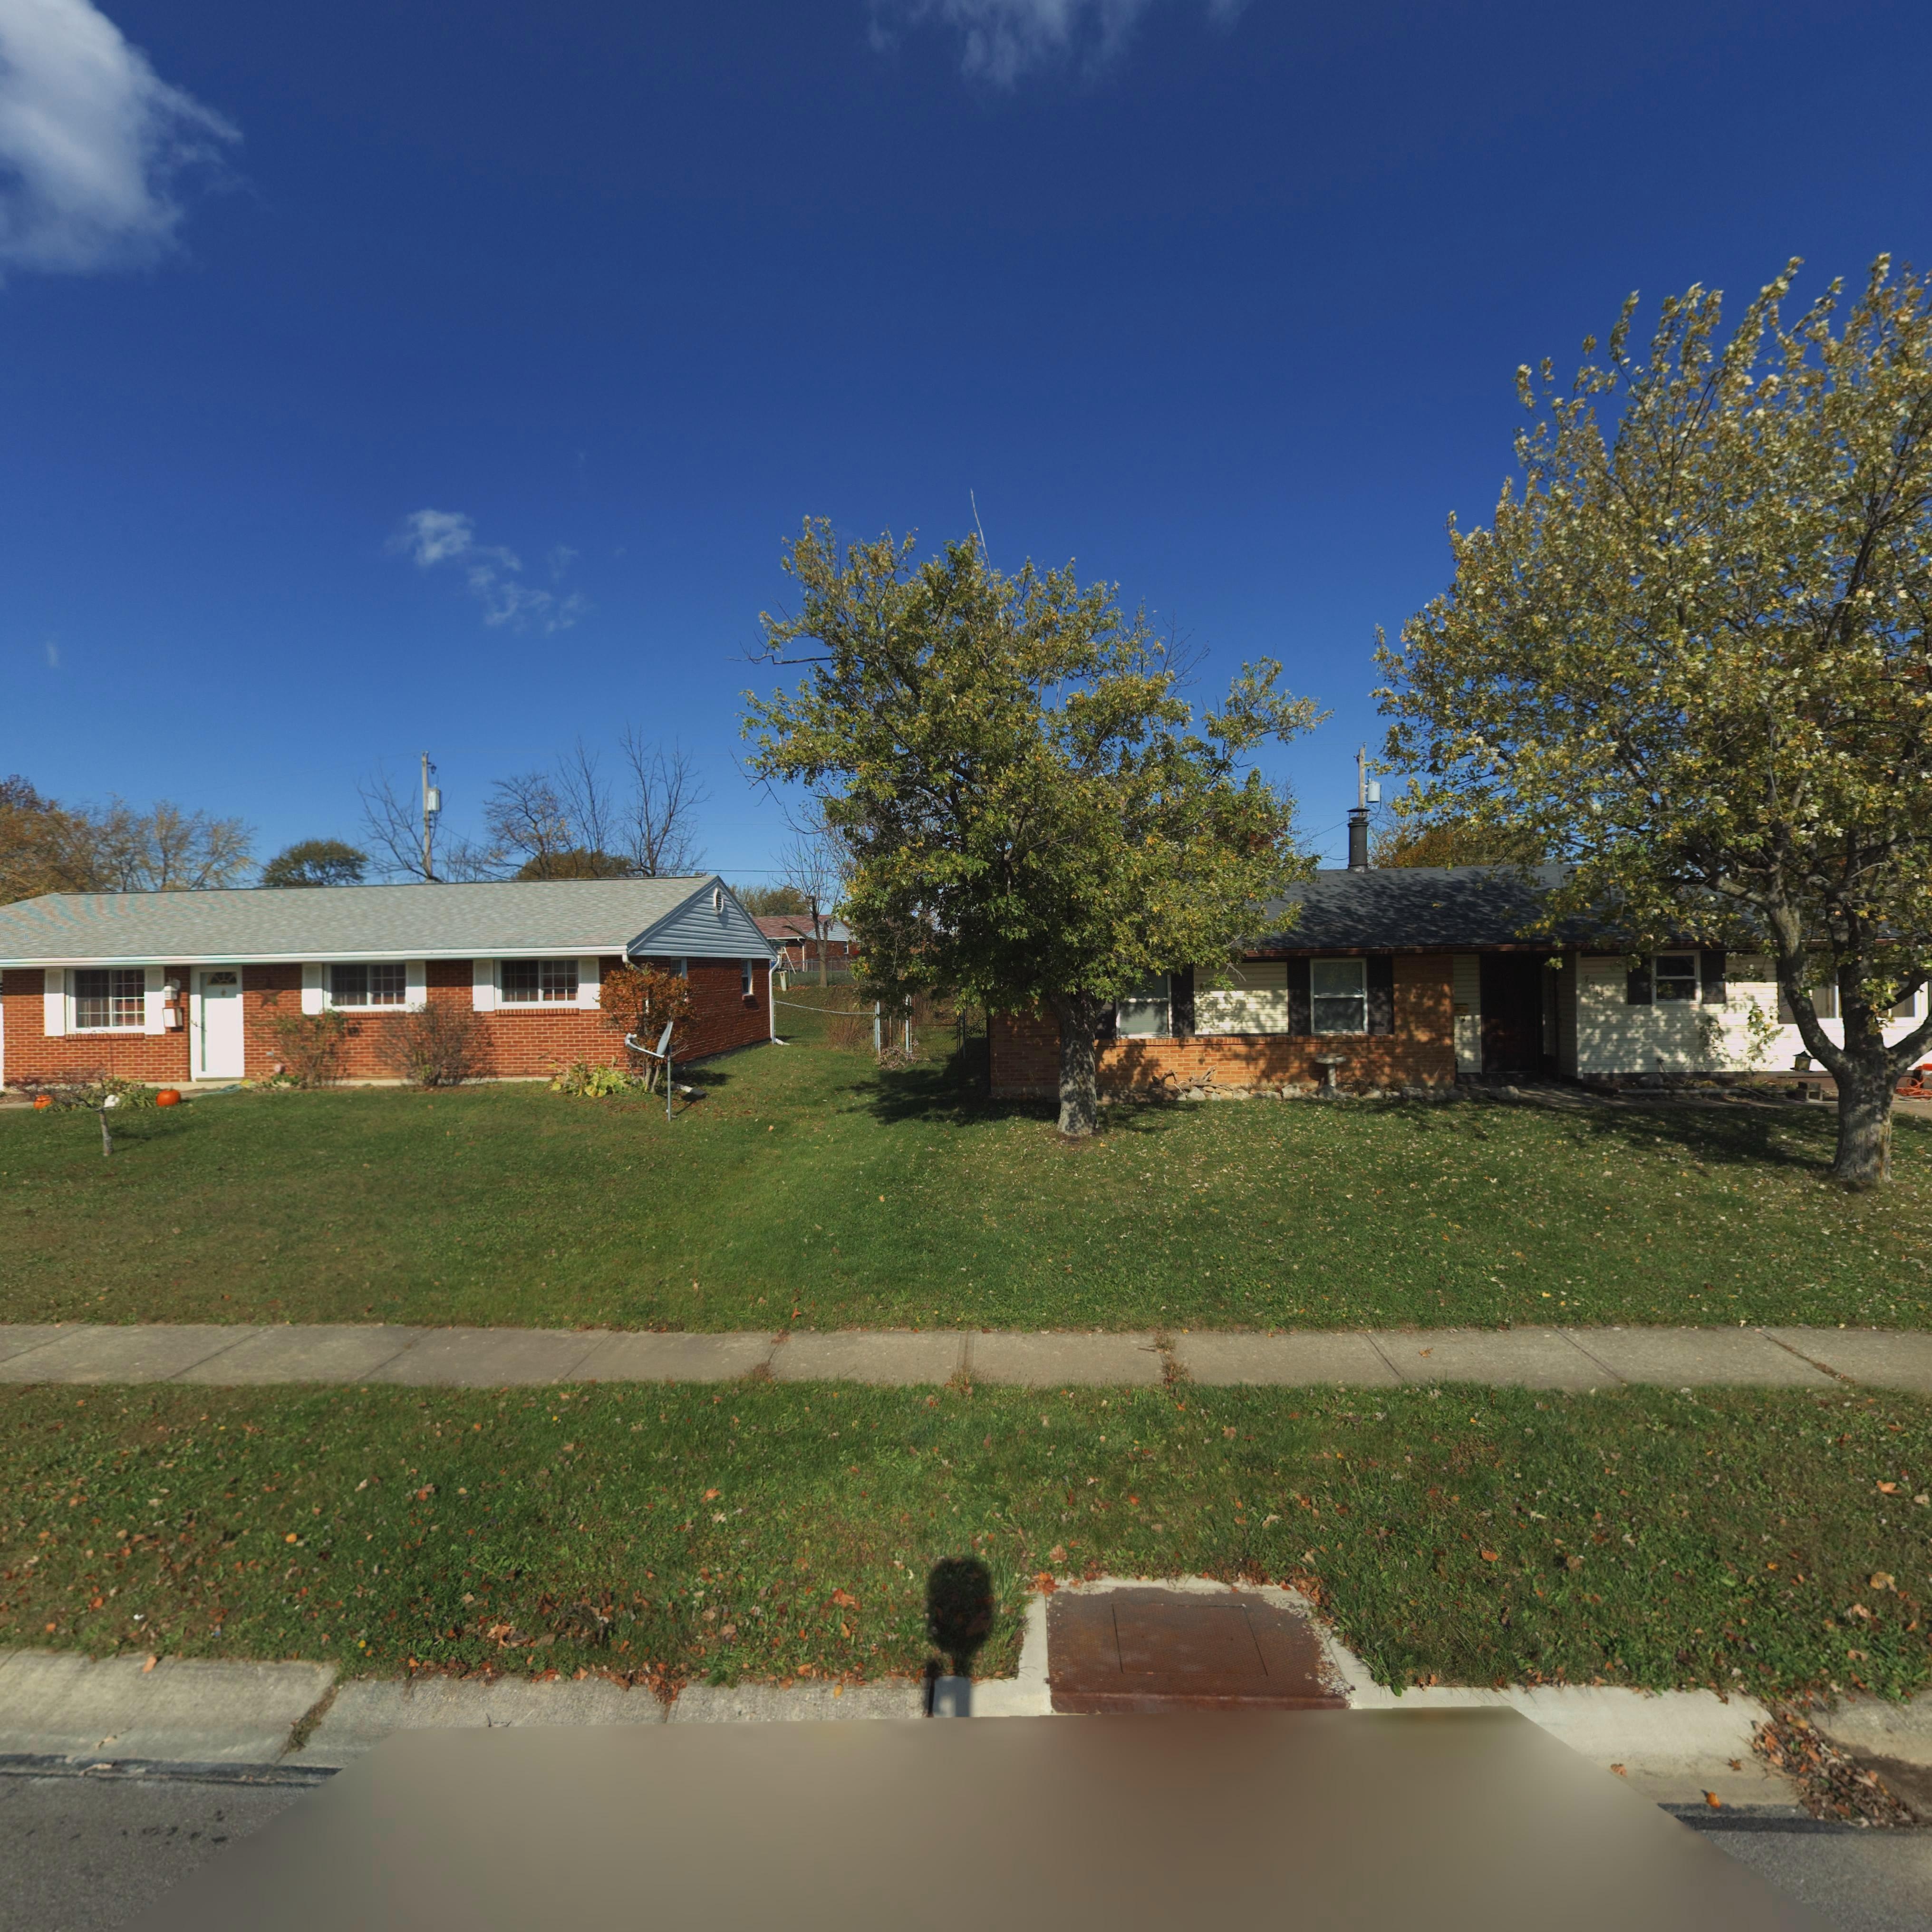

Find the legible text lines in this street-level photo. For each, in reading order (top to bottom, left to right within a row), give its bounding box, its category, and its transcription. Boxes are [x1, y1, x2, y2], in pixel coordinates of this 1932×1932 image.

[1583, 973, 1606, 1003] StreetNumber: 72*5